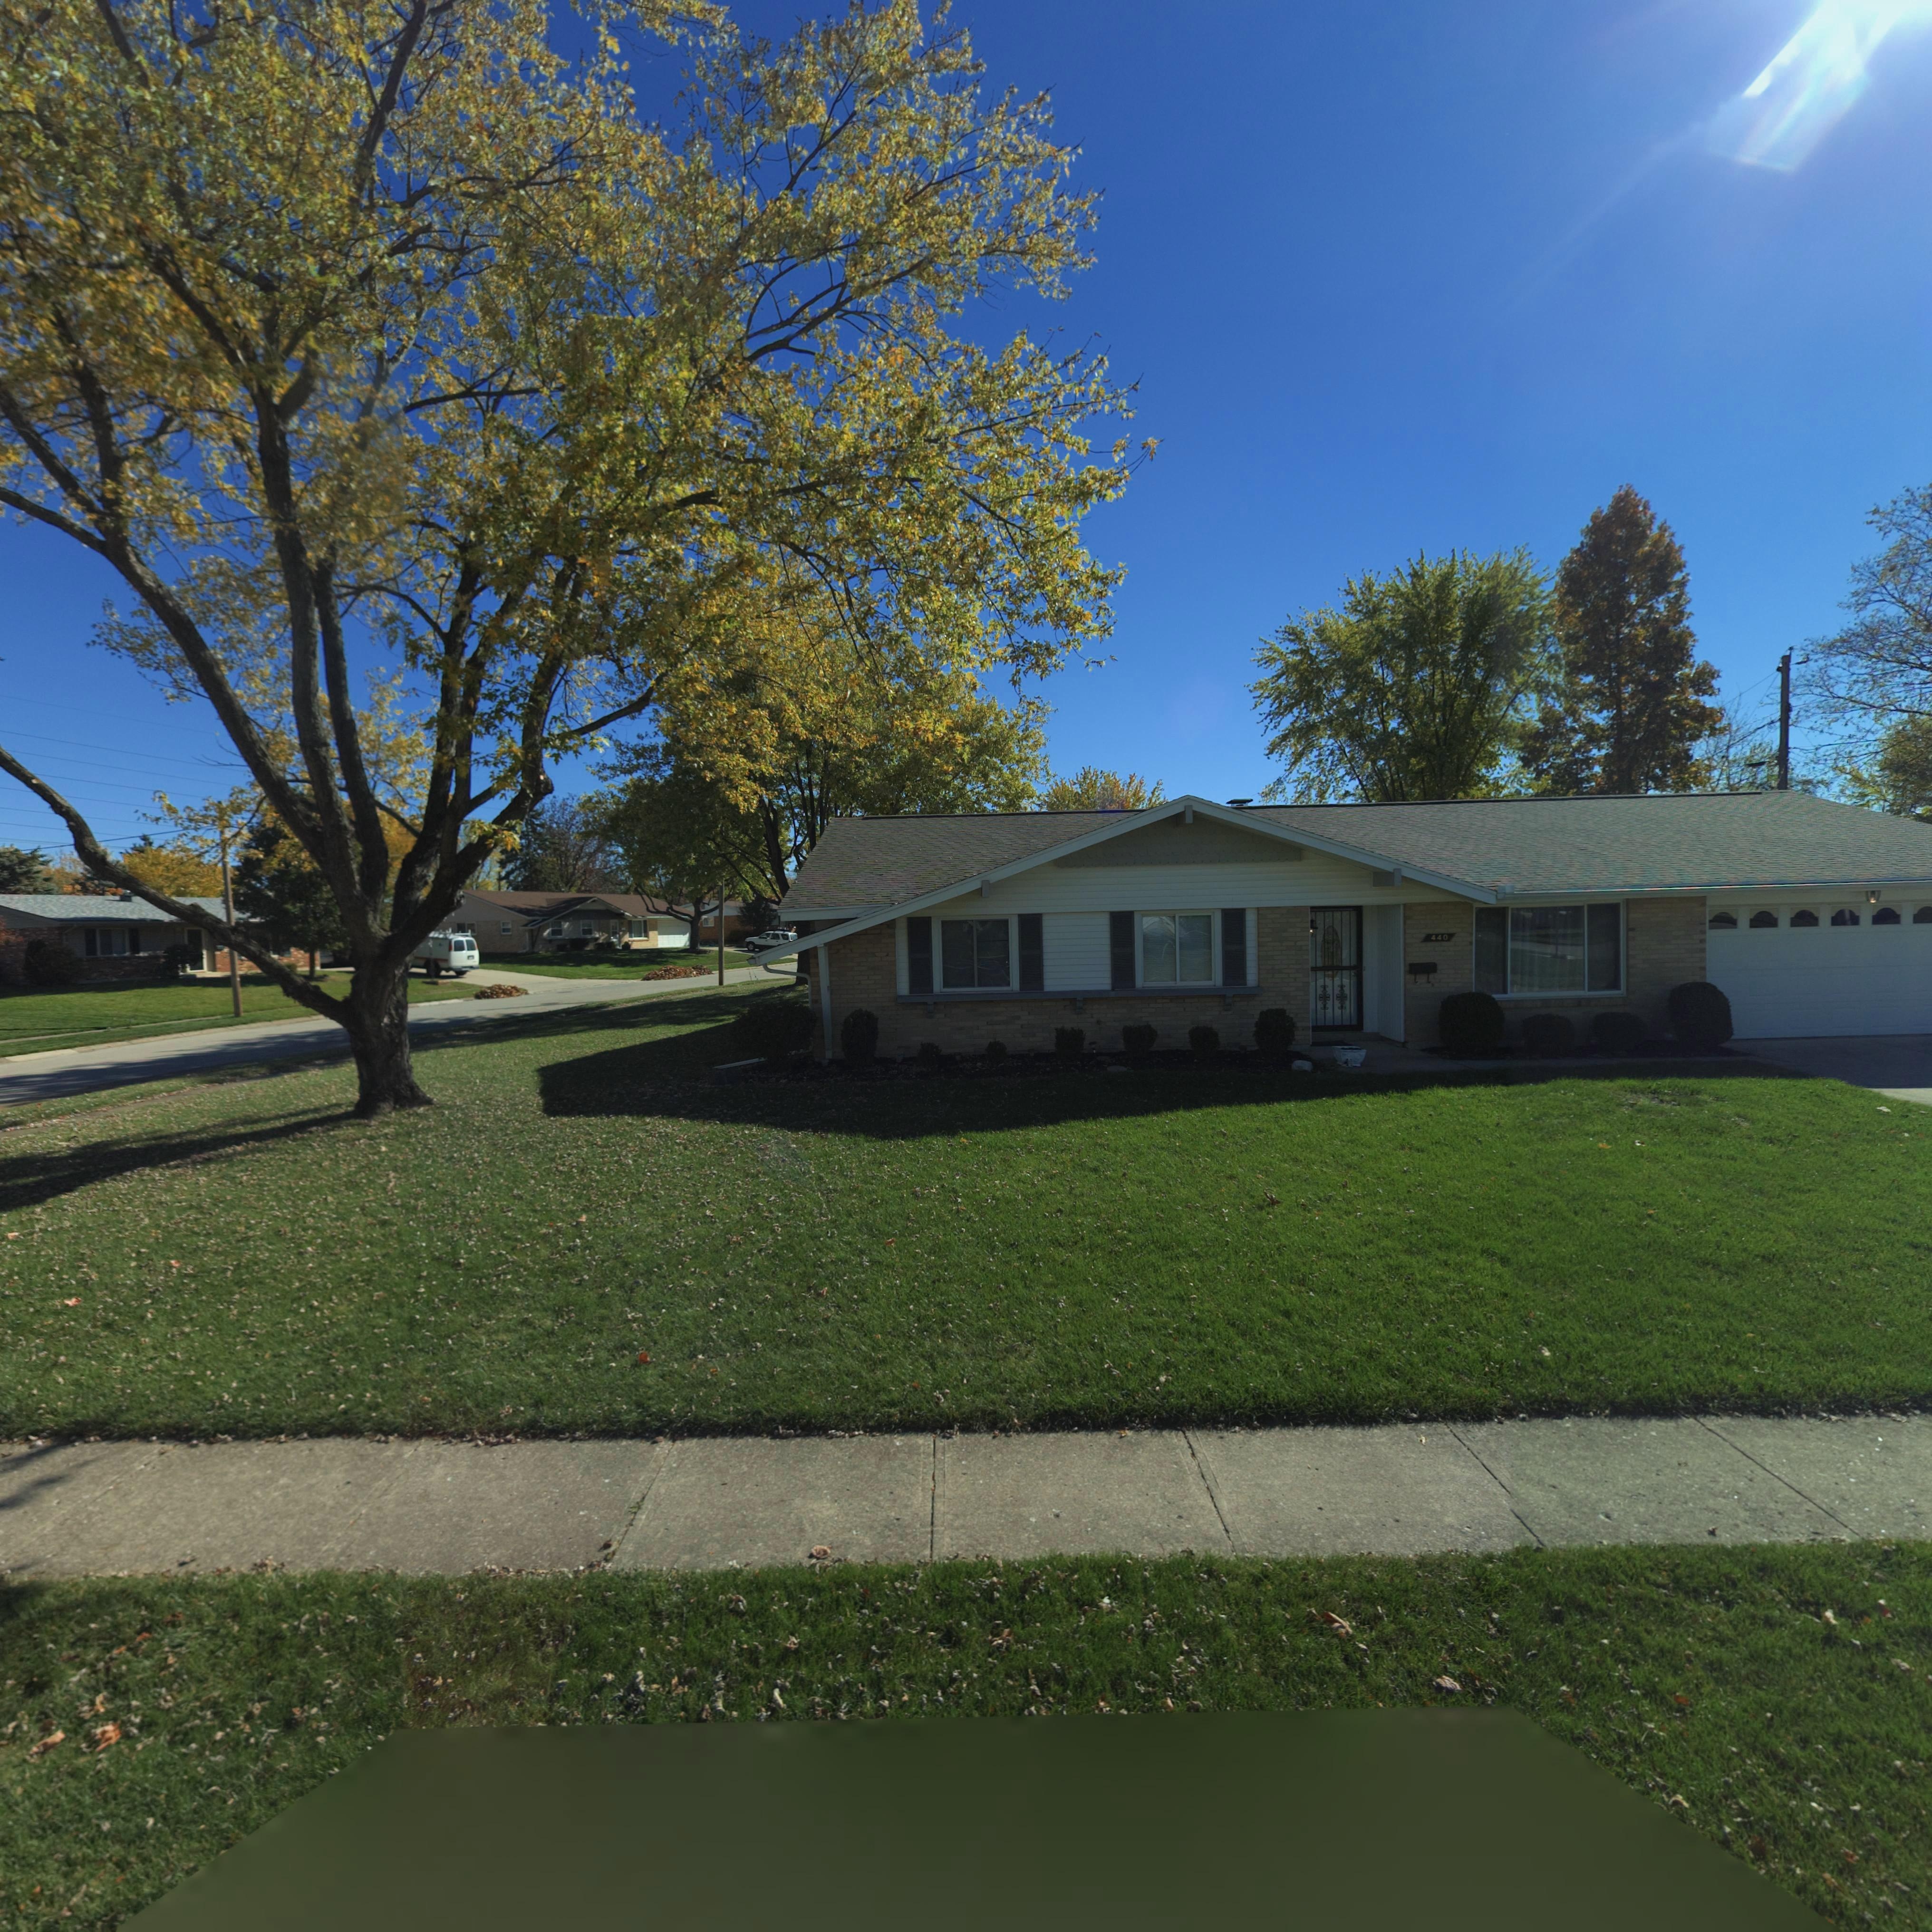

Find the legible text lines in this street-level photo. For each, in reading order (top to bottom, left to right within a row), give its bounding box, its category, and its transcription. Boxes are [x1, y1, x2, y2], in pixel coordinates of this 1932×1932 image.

[1429, 933, 1449, 941] StreetNumber: 440